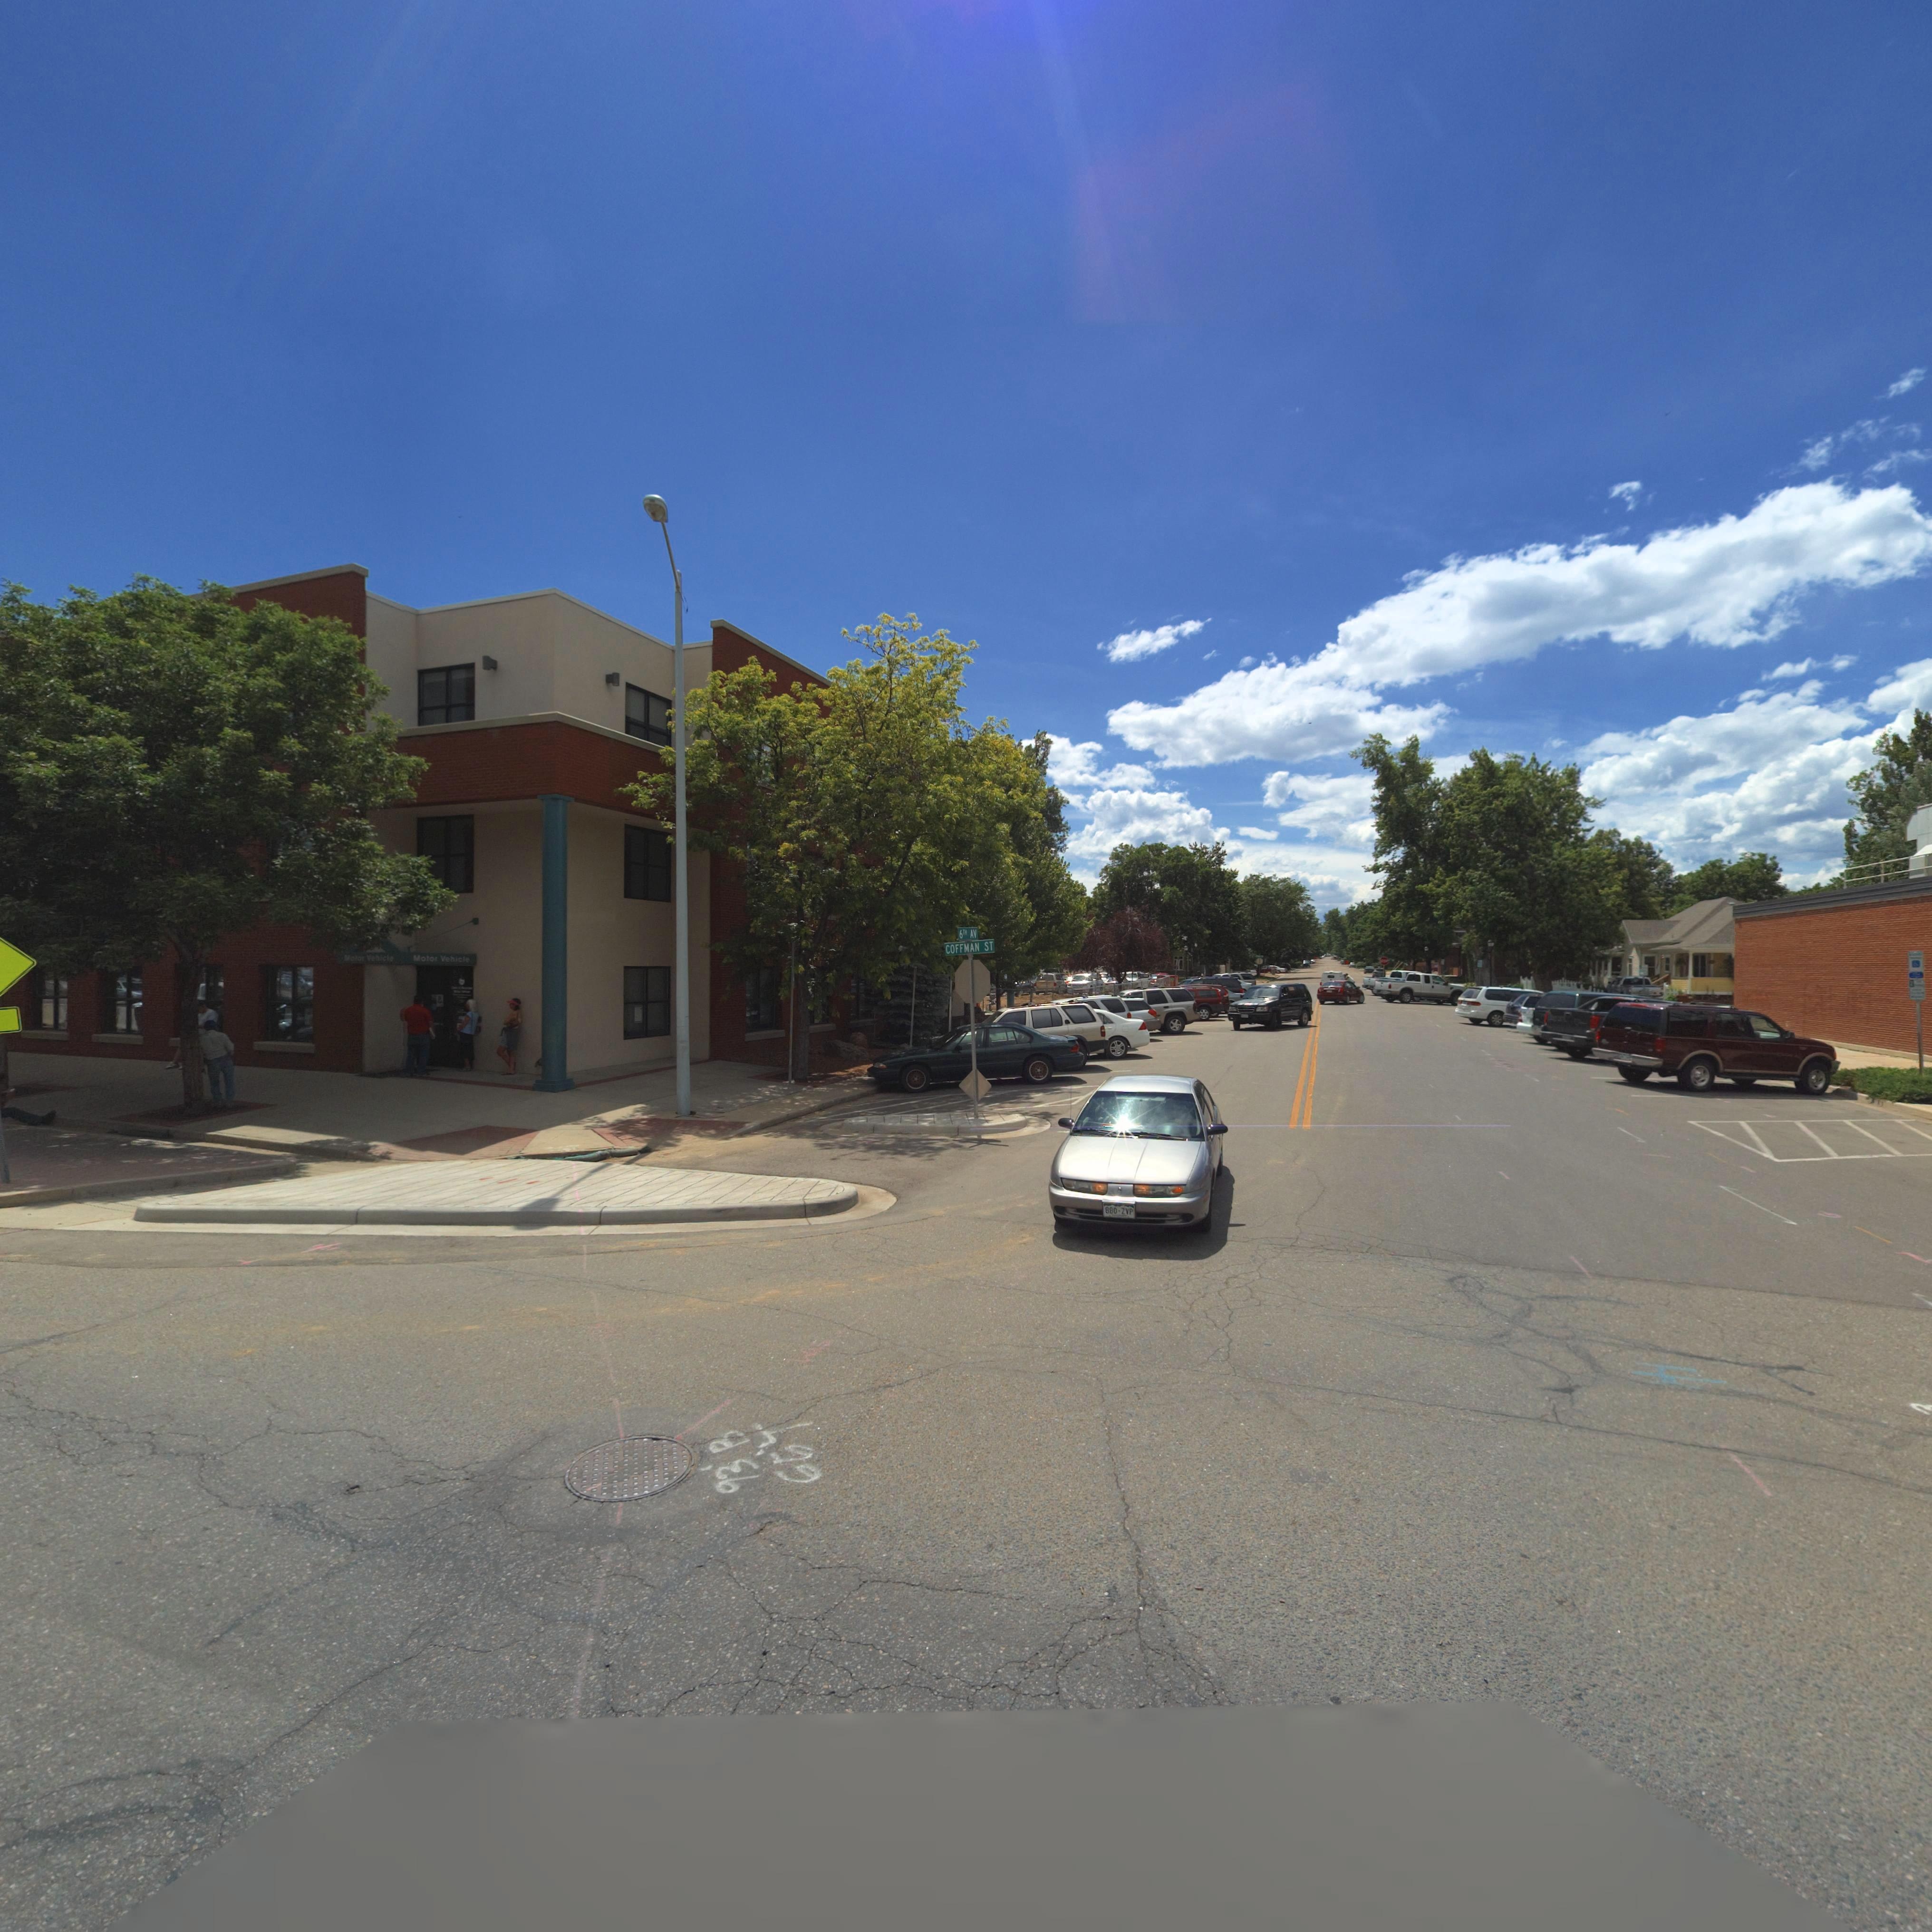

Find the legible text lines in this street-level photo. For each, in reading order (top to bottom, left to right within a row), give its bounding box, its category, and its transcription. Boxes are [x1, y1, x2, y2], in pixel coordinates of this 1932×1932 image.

[958, 928, 976, 939] StreetName: 6TH AV
[945, 941, 994, 955] StreetName: COFFMAN ST
[343, 954, 395, 962] BusinessName: Motor Vehicle
[412, 954, 470, 963] BusinessName: Motor Vehicle